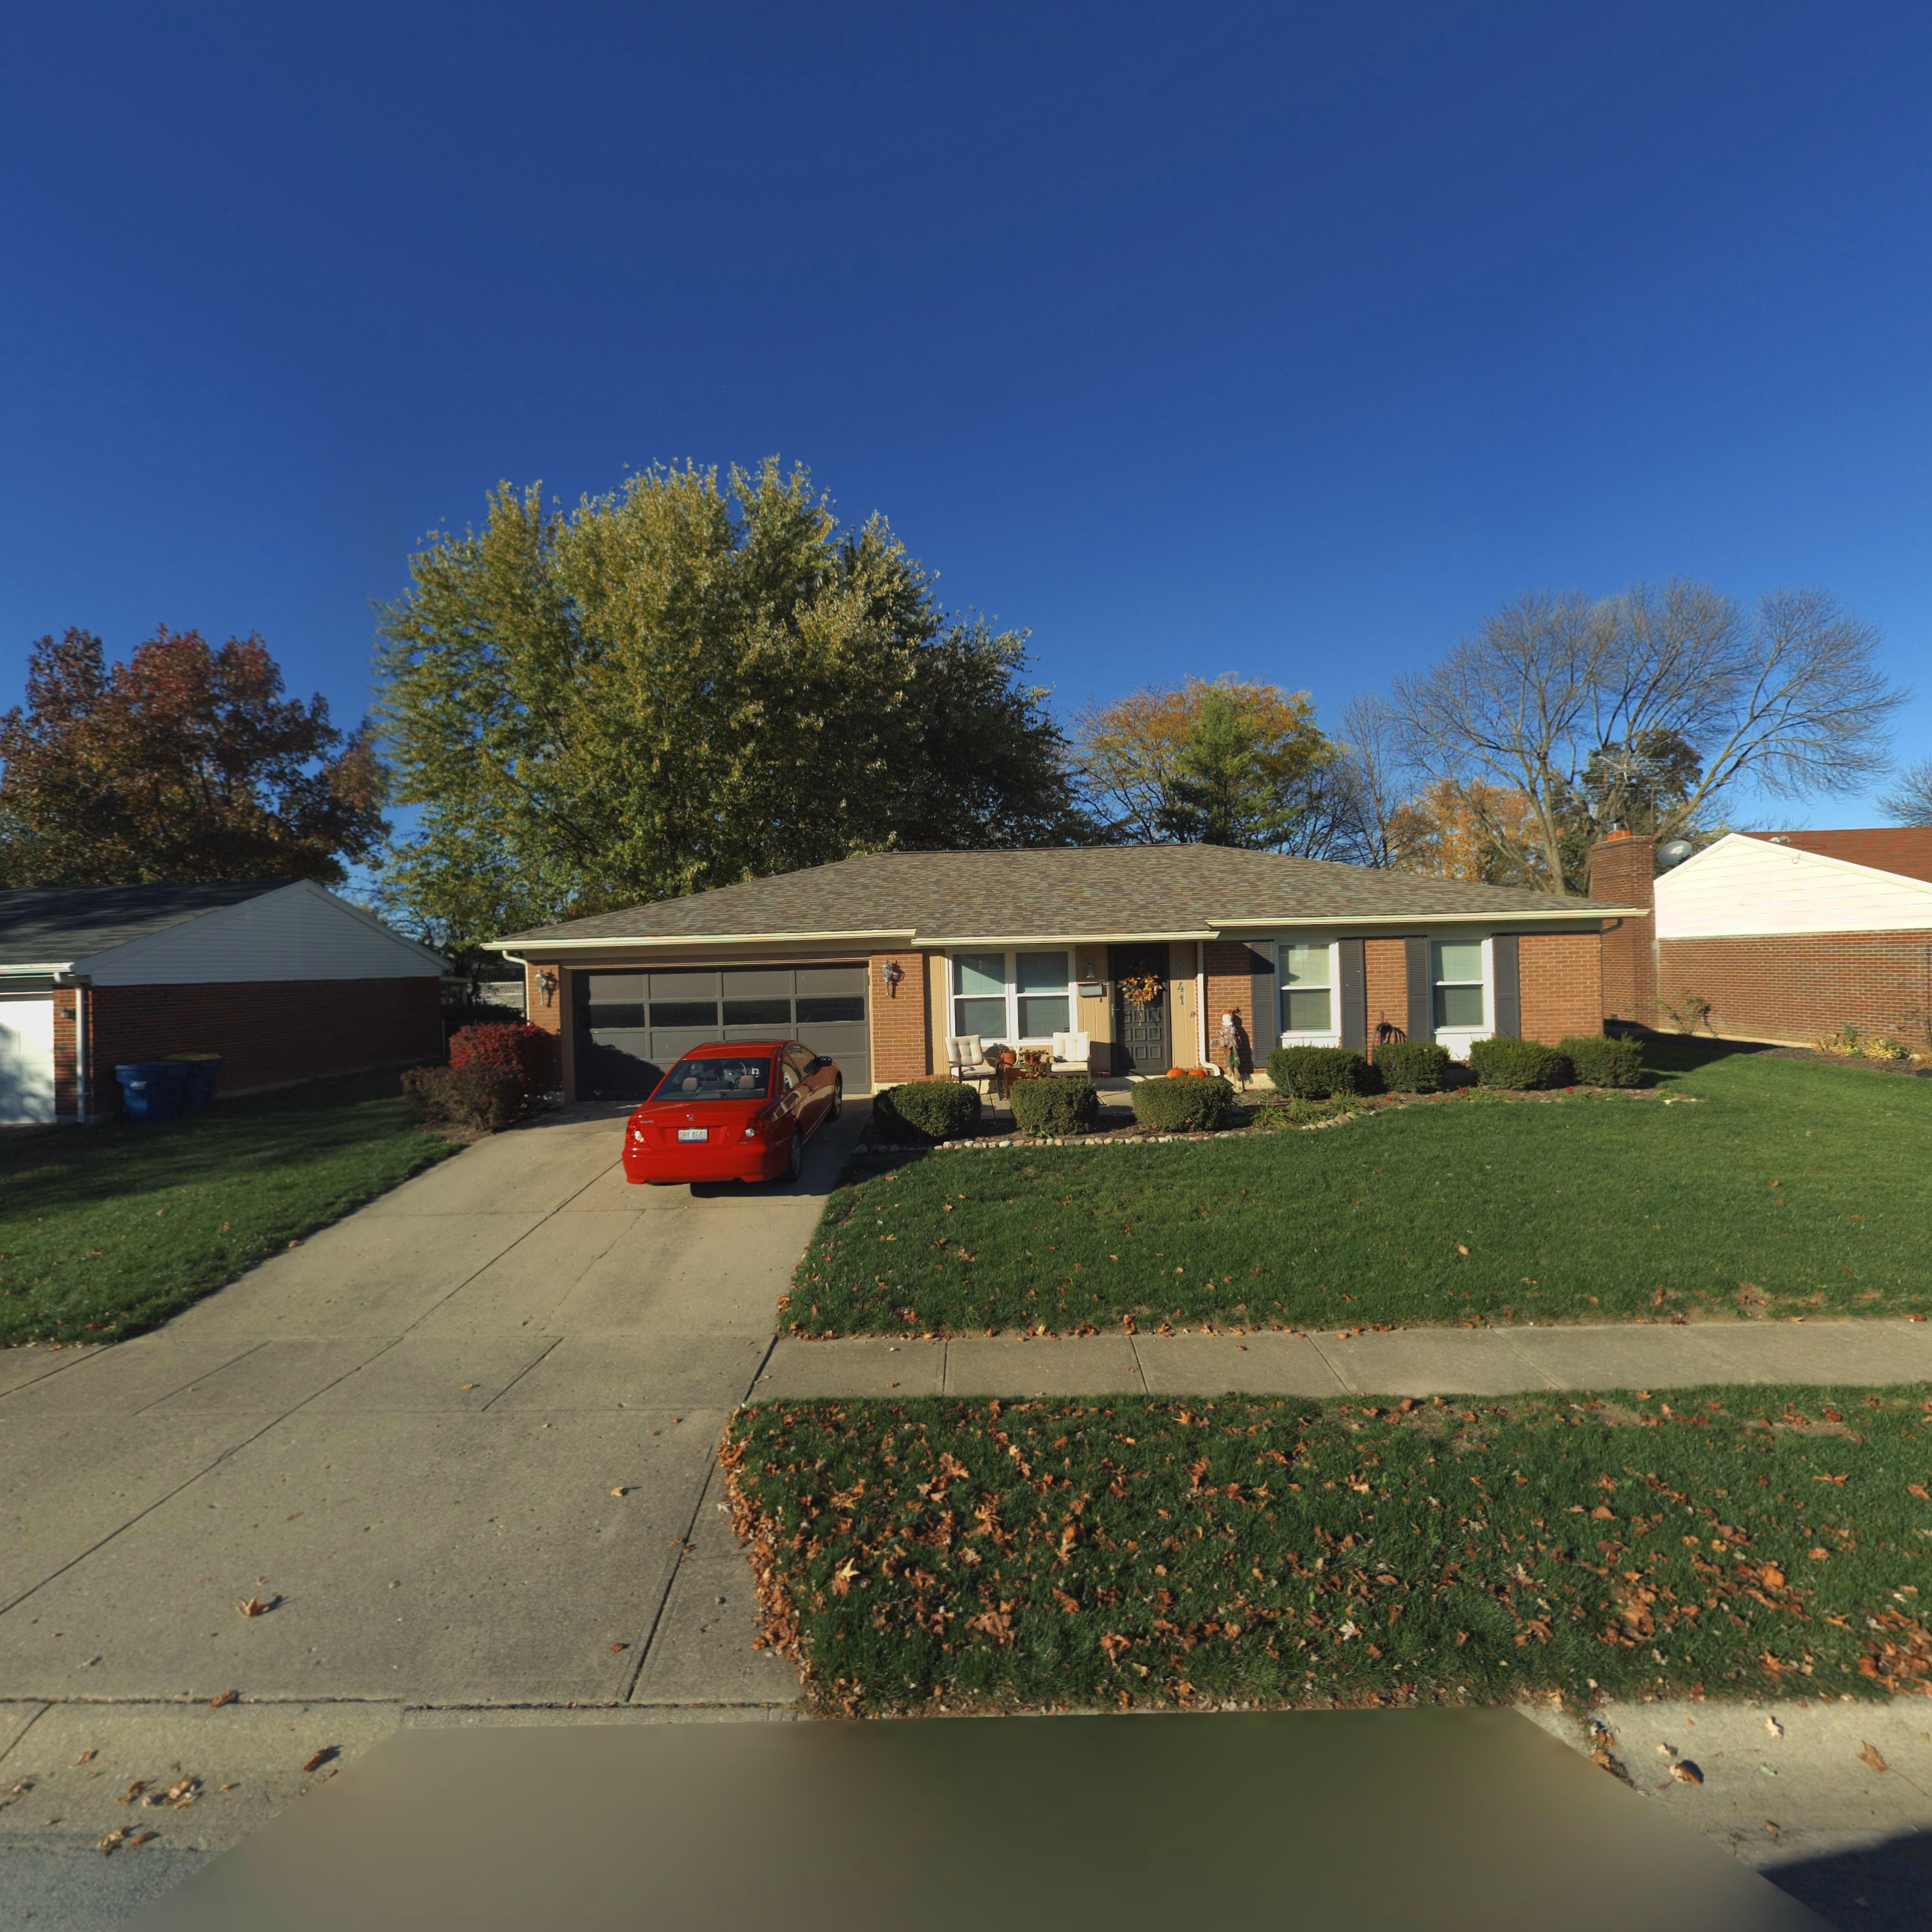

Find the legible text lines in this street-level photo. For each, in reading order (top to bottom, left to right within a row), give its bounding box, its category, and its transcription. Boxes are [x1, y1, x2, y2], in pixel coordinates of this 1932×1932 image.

[1175, 955, 1185, 1005] StreetNumber: 4941